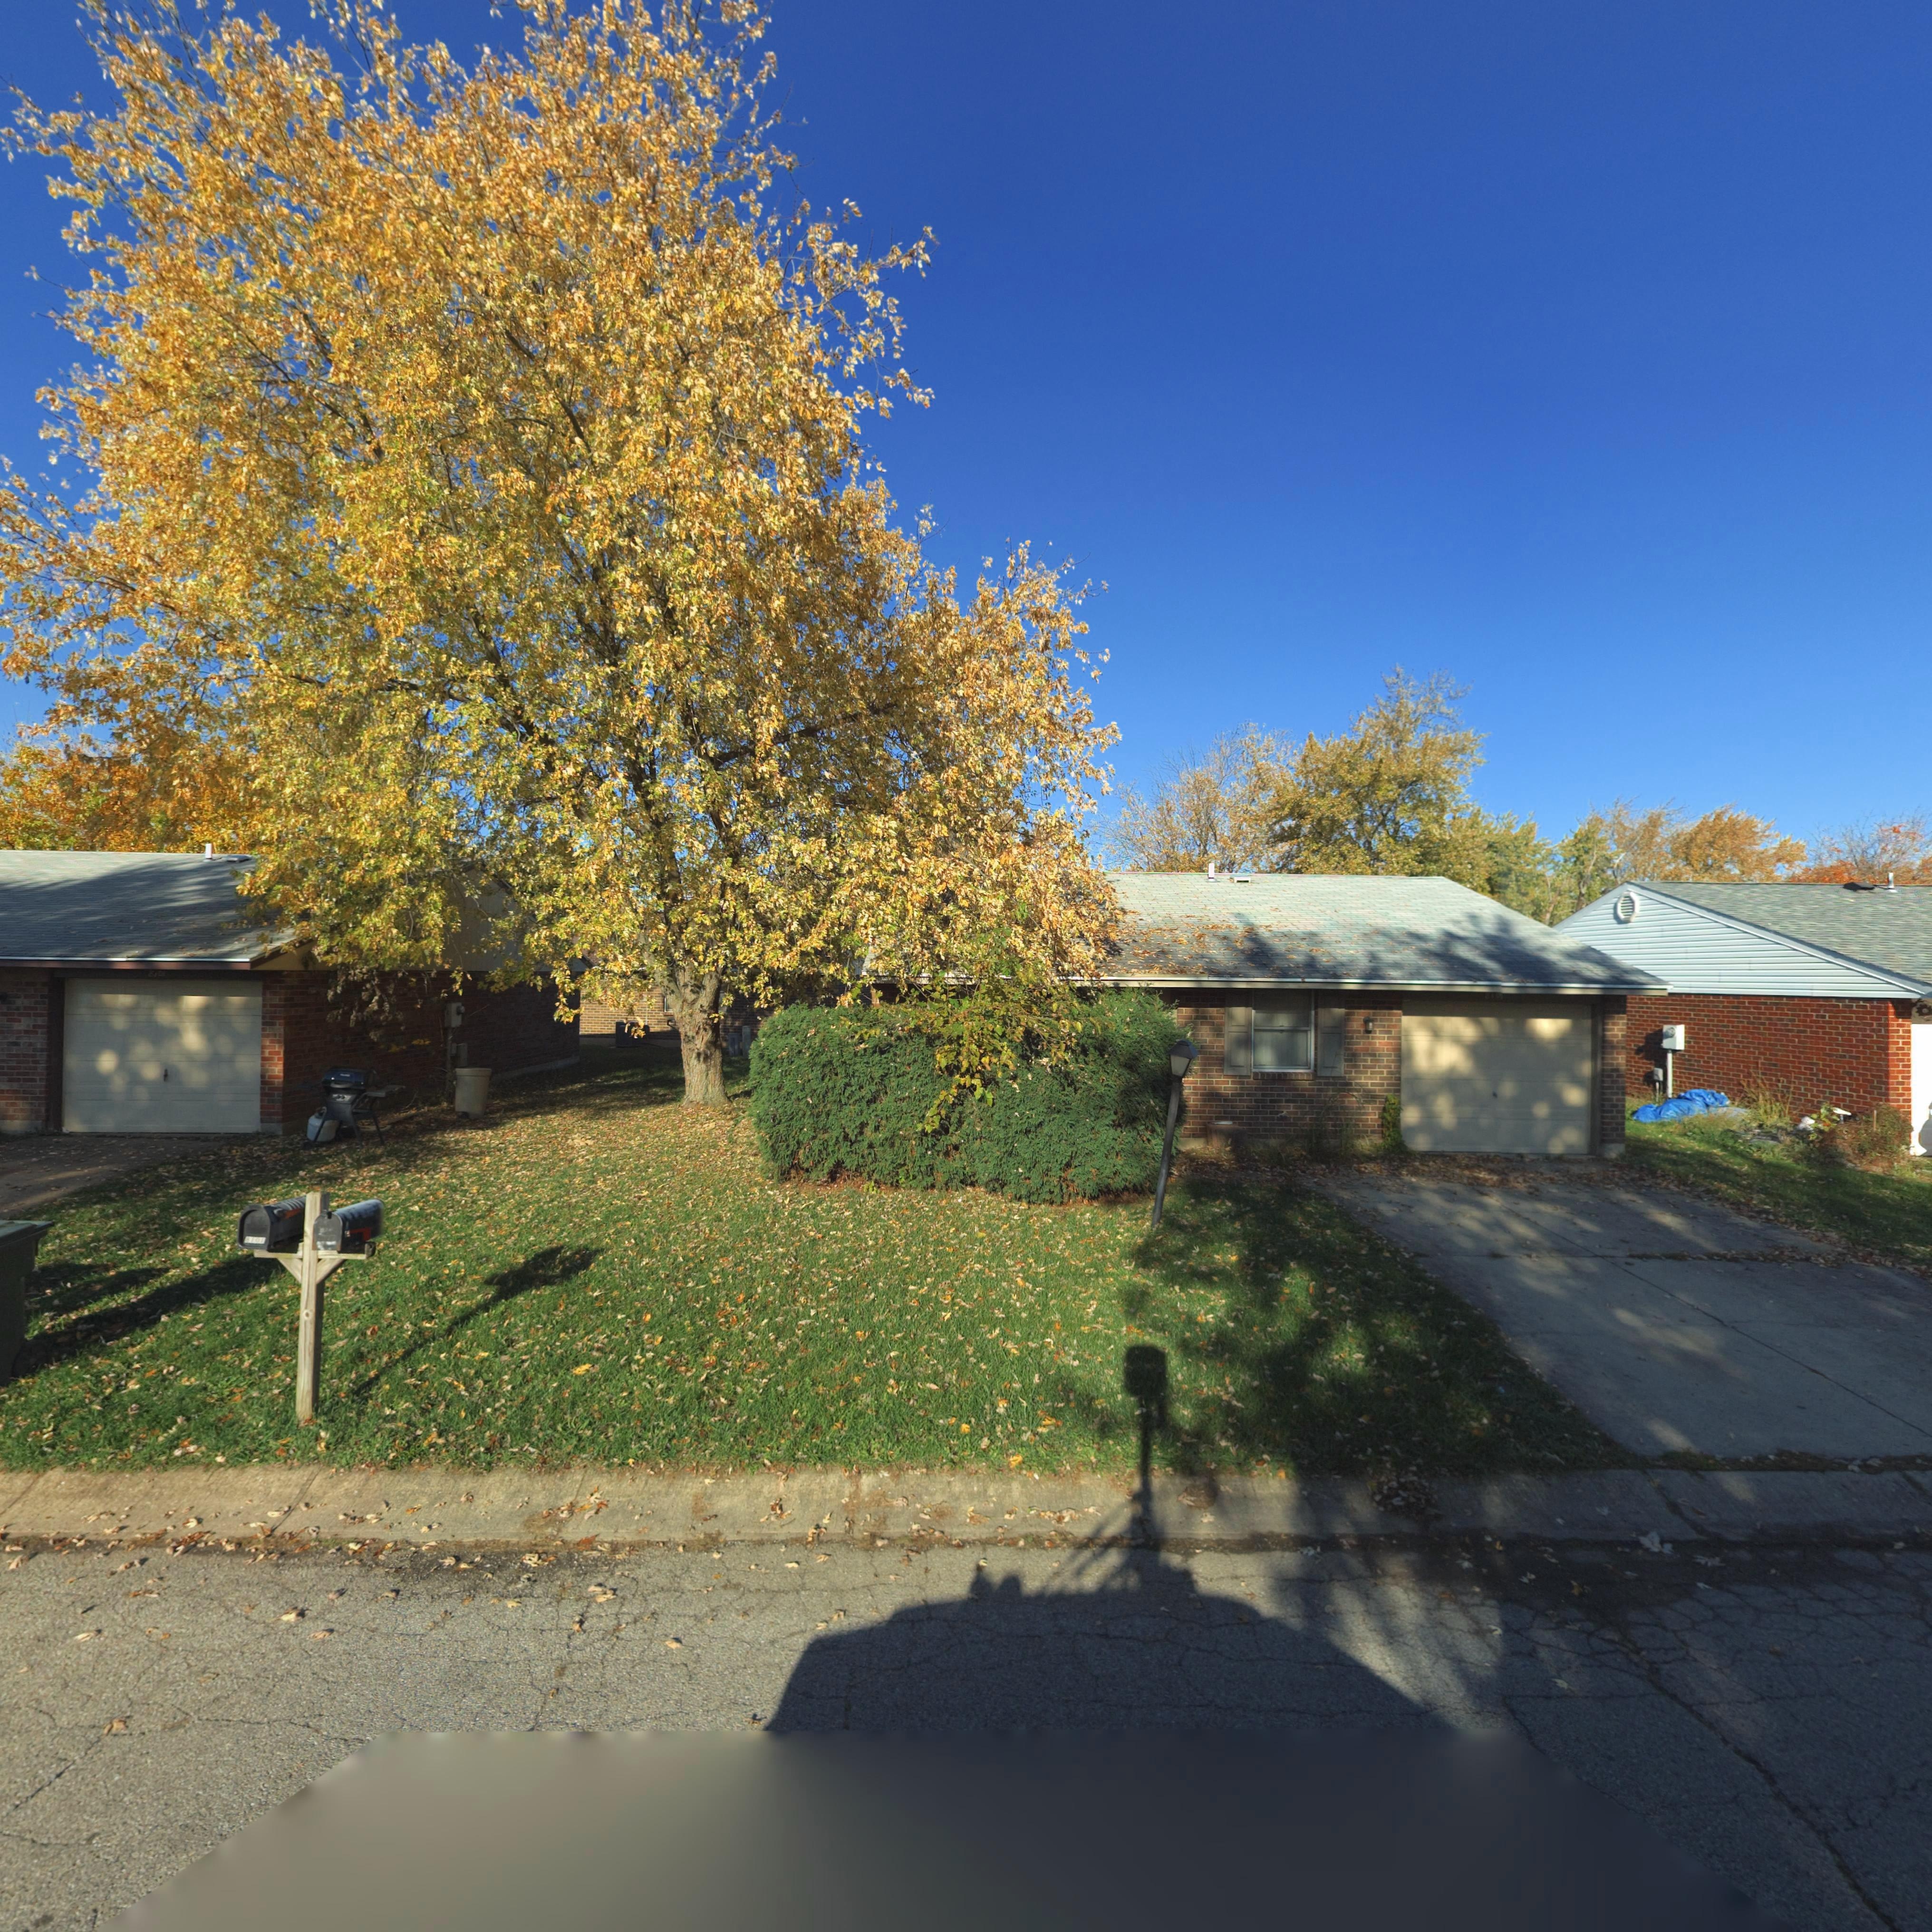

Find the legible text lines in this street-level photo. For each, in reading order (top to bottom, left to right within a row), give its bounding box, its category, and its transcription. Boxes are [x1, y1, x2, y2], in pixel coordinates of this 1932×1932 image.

[146, 969, 167, 978] StreetNumber: **0*
[243, 1236, 265, 1245] StreetNumber: 8101